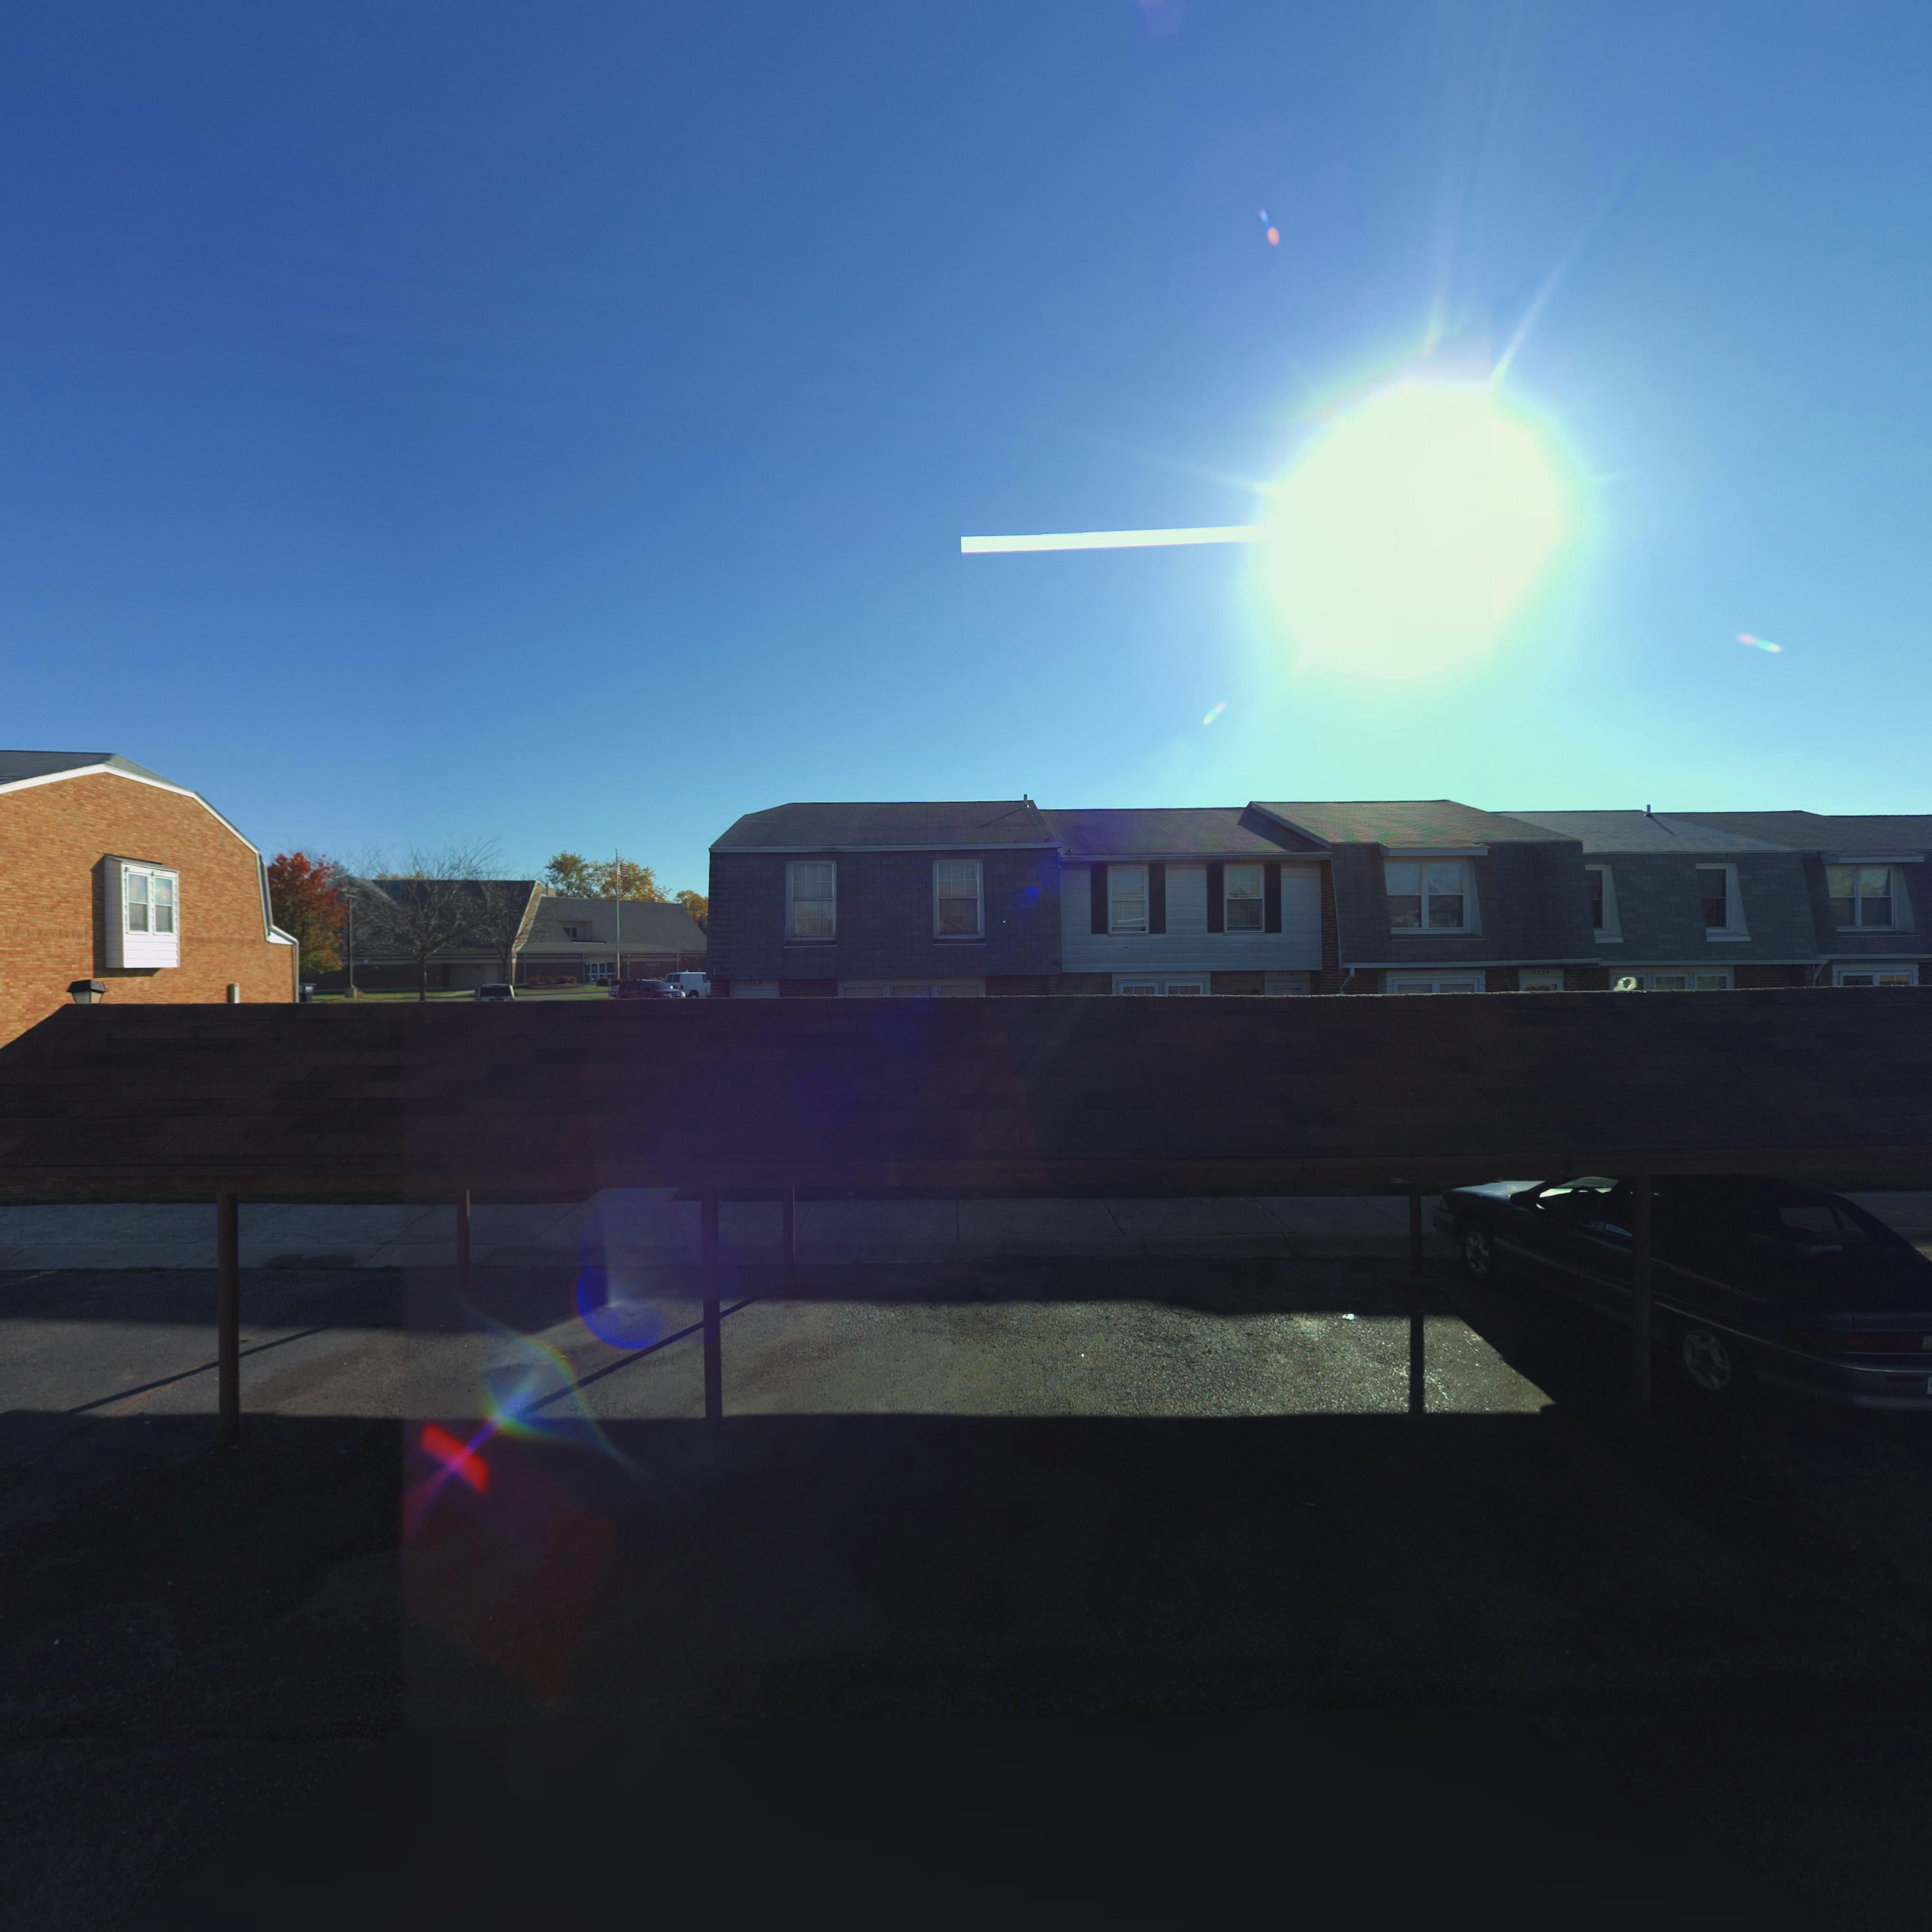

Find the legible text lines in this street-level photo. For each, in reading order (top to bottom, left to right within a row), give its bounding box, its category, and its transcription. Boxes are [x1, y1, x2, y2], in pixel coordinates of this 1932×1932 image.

[1277, 970, 1294, 977] StreetNumber: 7526
[1532, 968, 1550, 976] StreetNumber: 7524
[744, 979, 763, 985] StreetNumber: 7528